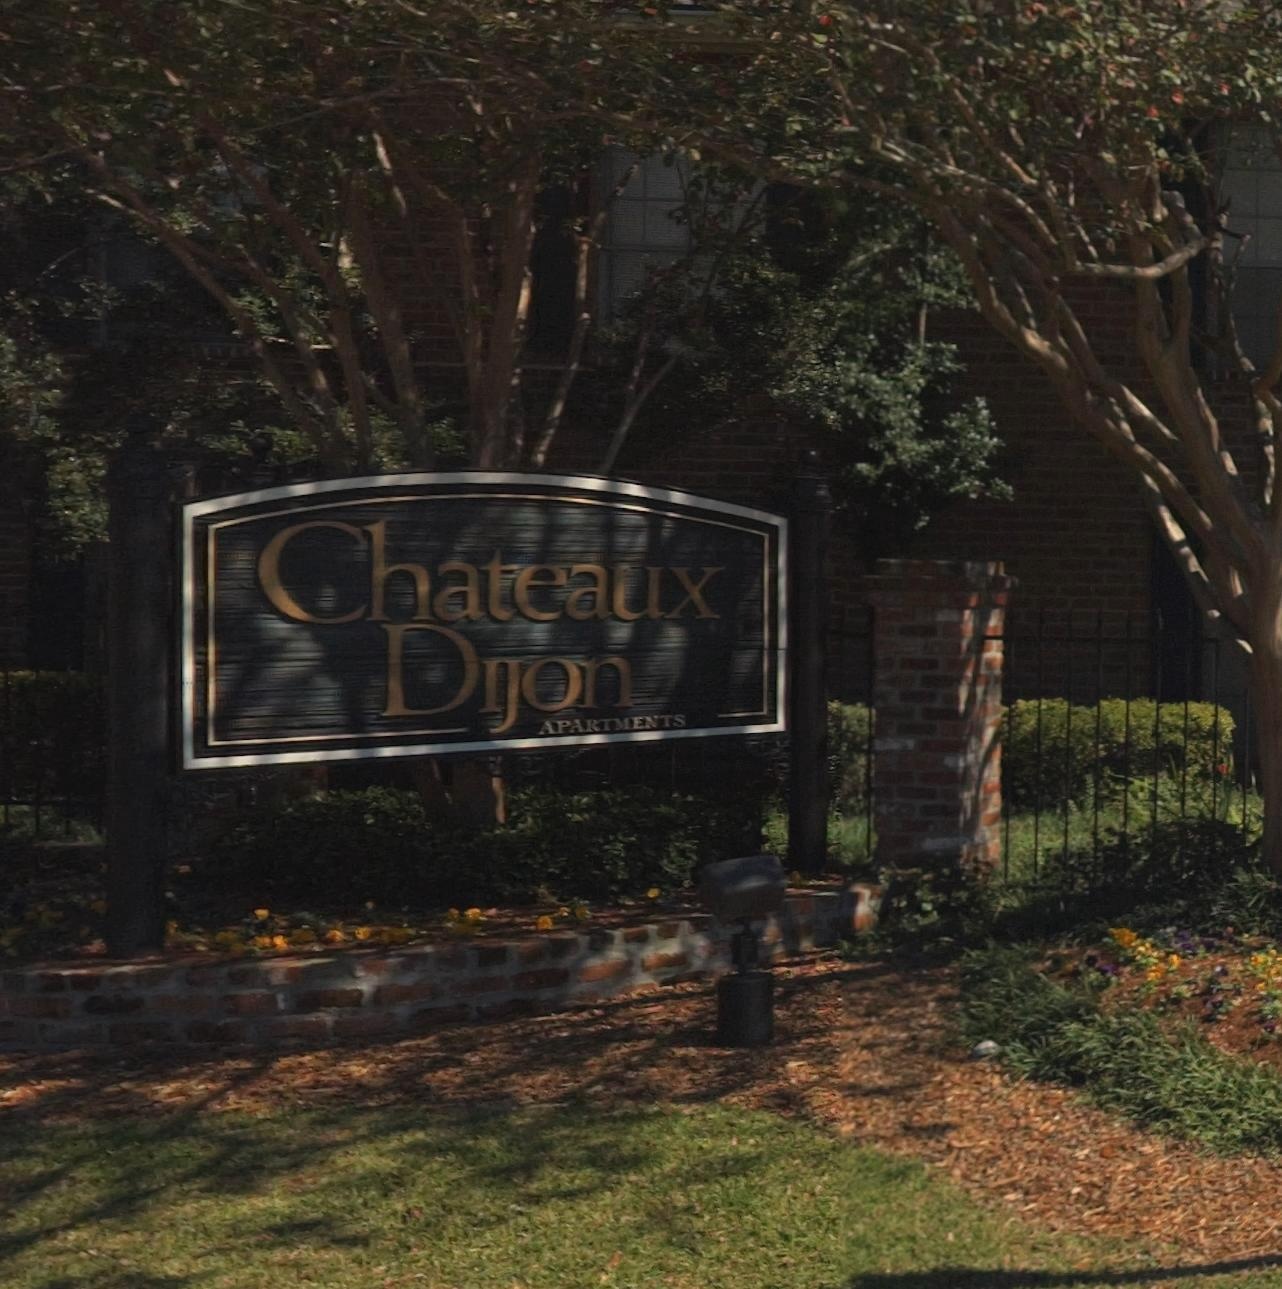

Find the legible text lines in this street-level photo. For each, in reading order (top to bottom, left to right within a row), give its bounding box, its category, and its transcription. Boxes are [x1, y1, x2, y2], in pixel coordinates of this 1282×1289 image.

[253, 514, 730, 626] BusinessName: Chateaux
[375, 619, 637, 736] BusinessName: Dijon
[537, 712, 688, 737] BusinessName: APARTMENTS